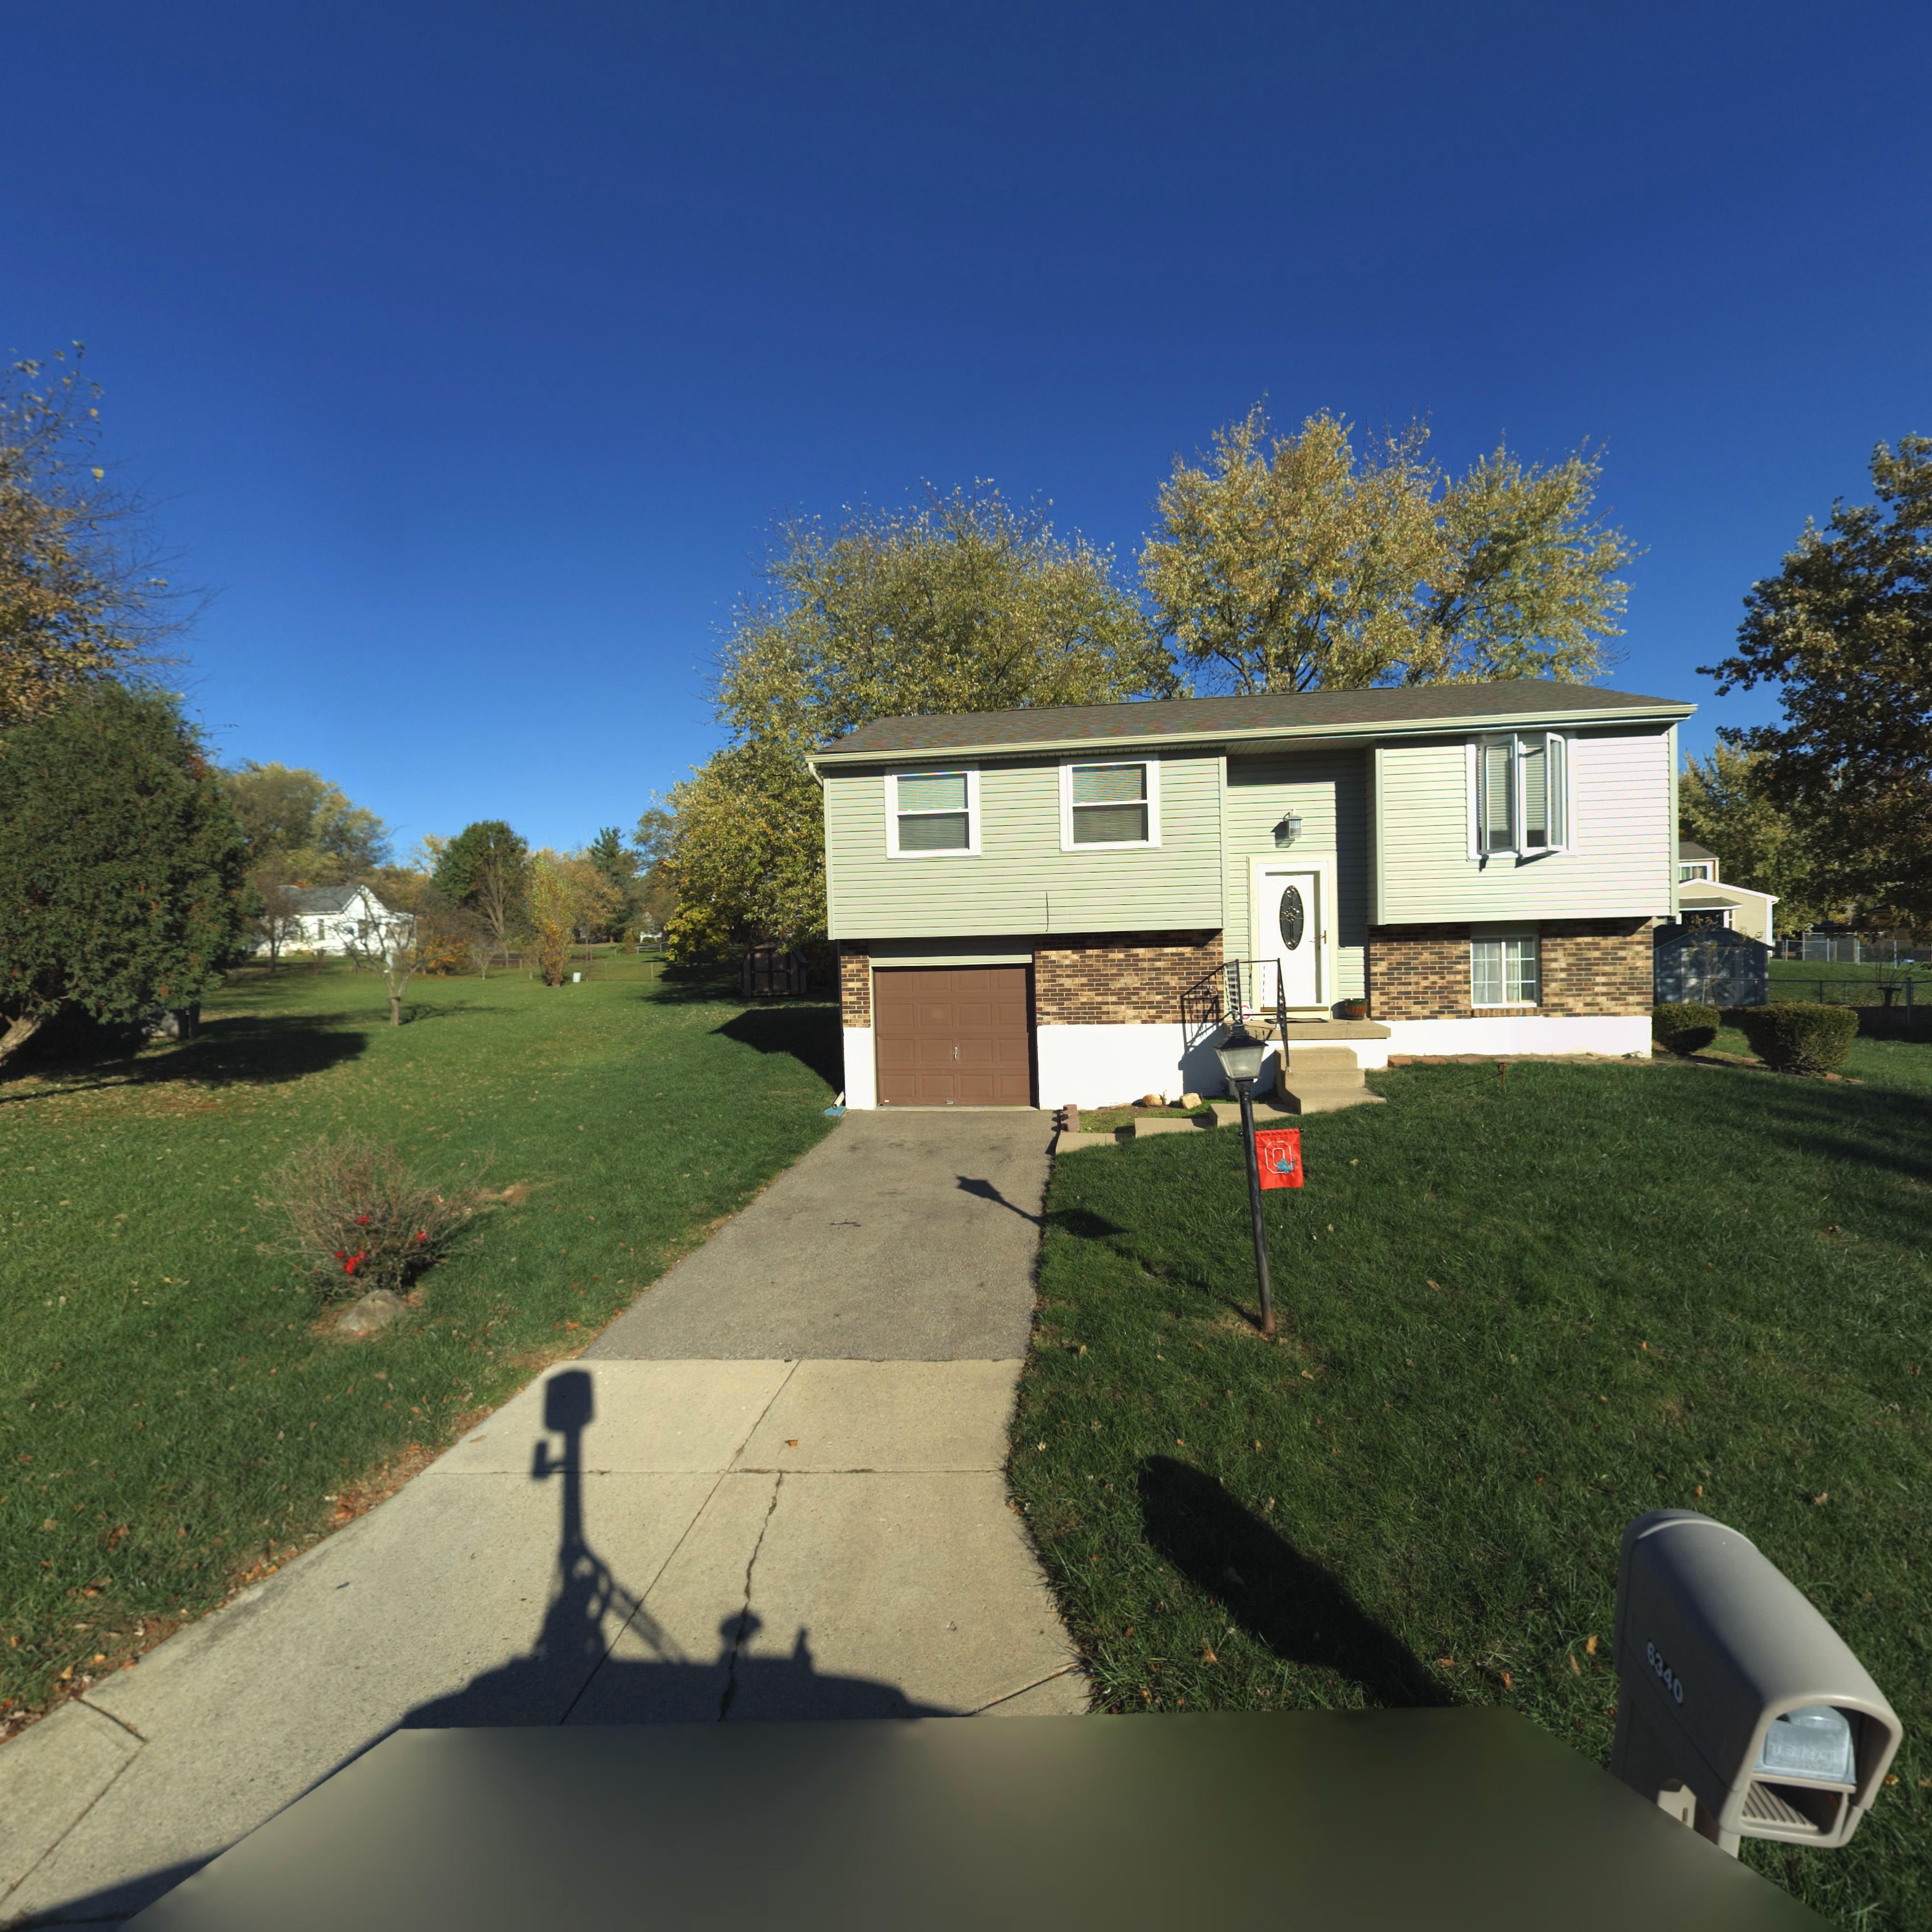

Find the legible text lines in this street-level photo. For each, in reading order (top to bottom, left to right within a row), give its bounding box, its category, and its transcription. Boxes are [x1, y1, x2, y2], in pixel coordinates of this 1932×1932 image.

[1644, 1639, 1685, 1707] StreetNumber: 6340